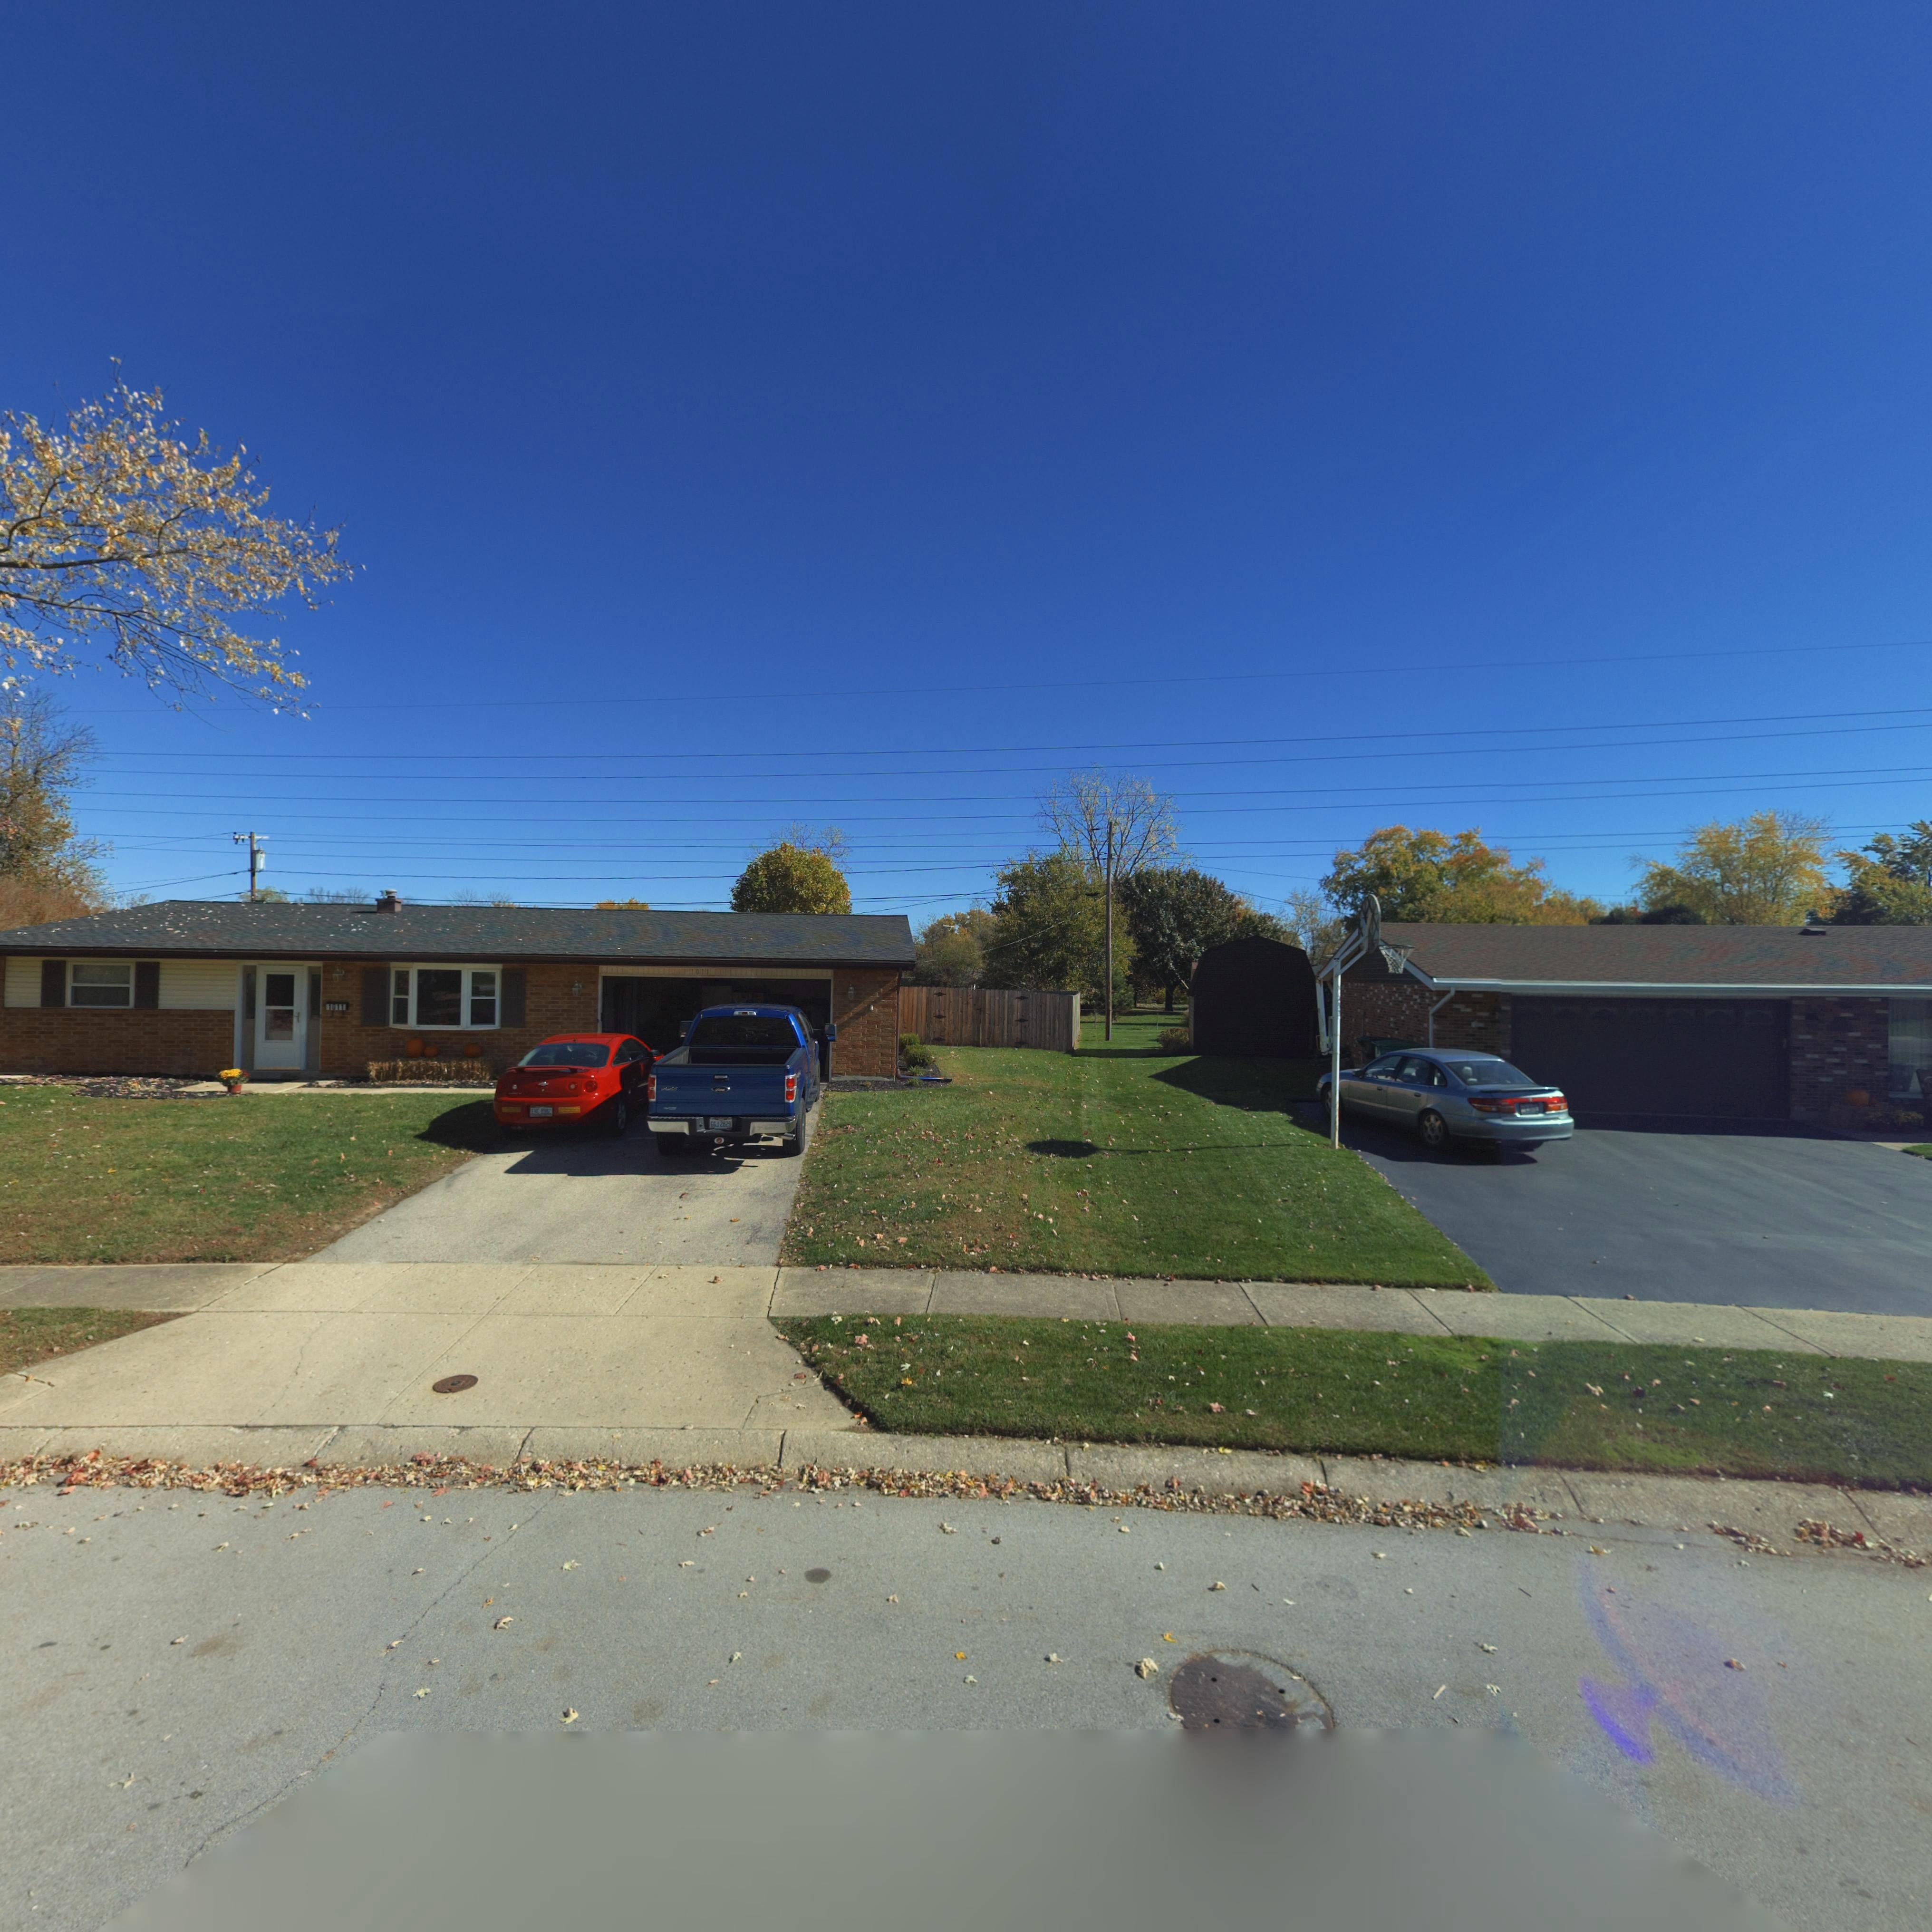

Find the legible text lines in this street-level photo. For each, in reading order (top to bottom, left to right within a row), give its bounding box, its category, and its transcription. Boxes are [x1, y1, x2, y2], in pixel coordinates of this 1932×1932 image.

[690, 968, 709, 975] StreetNumber: 1011
[328, 1003, 344, 1011] StreetNumber: 1011